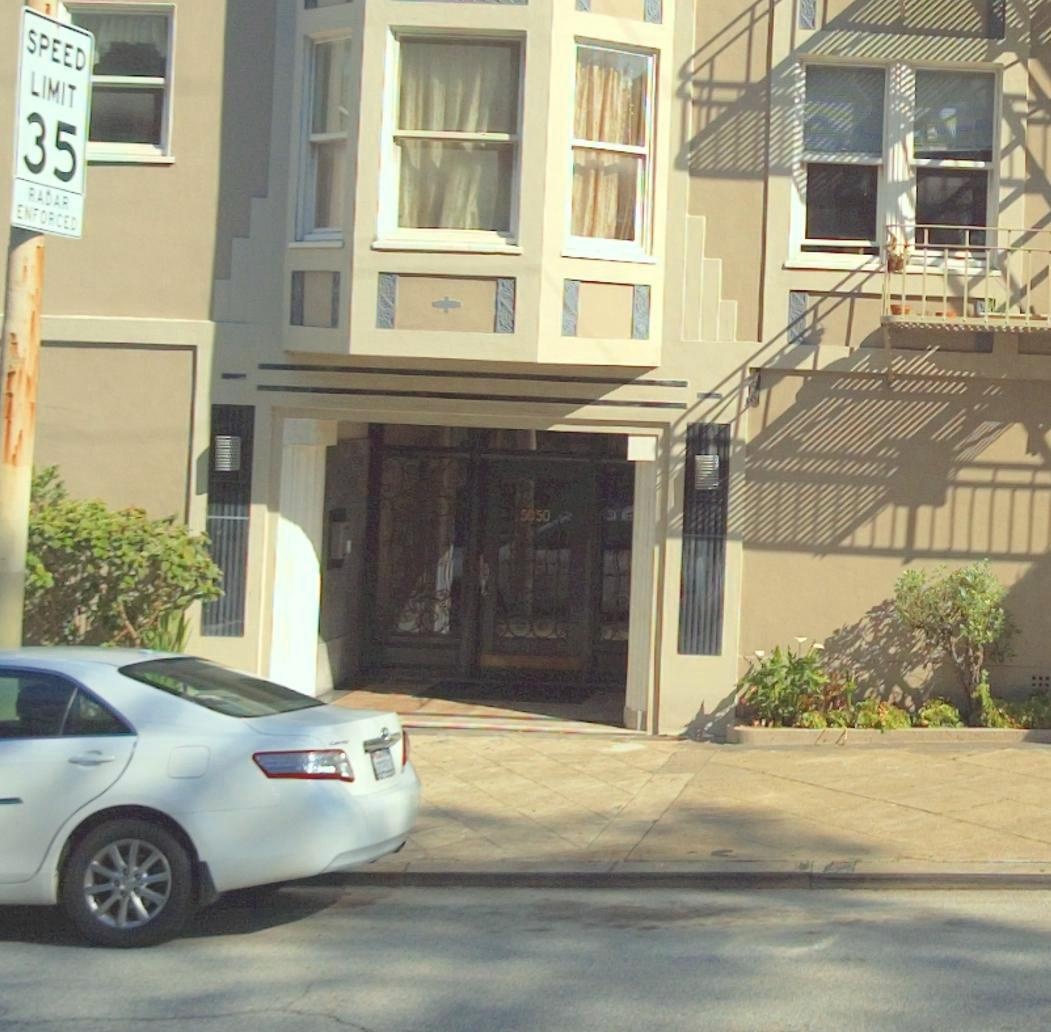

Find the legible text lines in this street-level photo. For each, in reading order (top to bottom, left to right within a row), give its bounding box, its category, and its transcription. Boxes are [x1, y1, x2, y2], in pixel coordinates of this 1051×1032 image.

[24, 24, 88, 76] None: SPEED
[28, 65, 78, 113] None: LIMIT
[22, 107, 79, 185] None: 35
[13, 200, 80, 235] None: ENFORCED
[25, 182, 72, 212] None: RADAR
[518, 508, 551, 523] StreetNumber: 5030